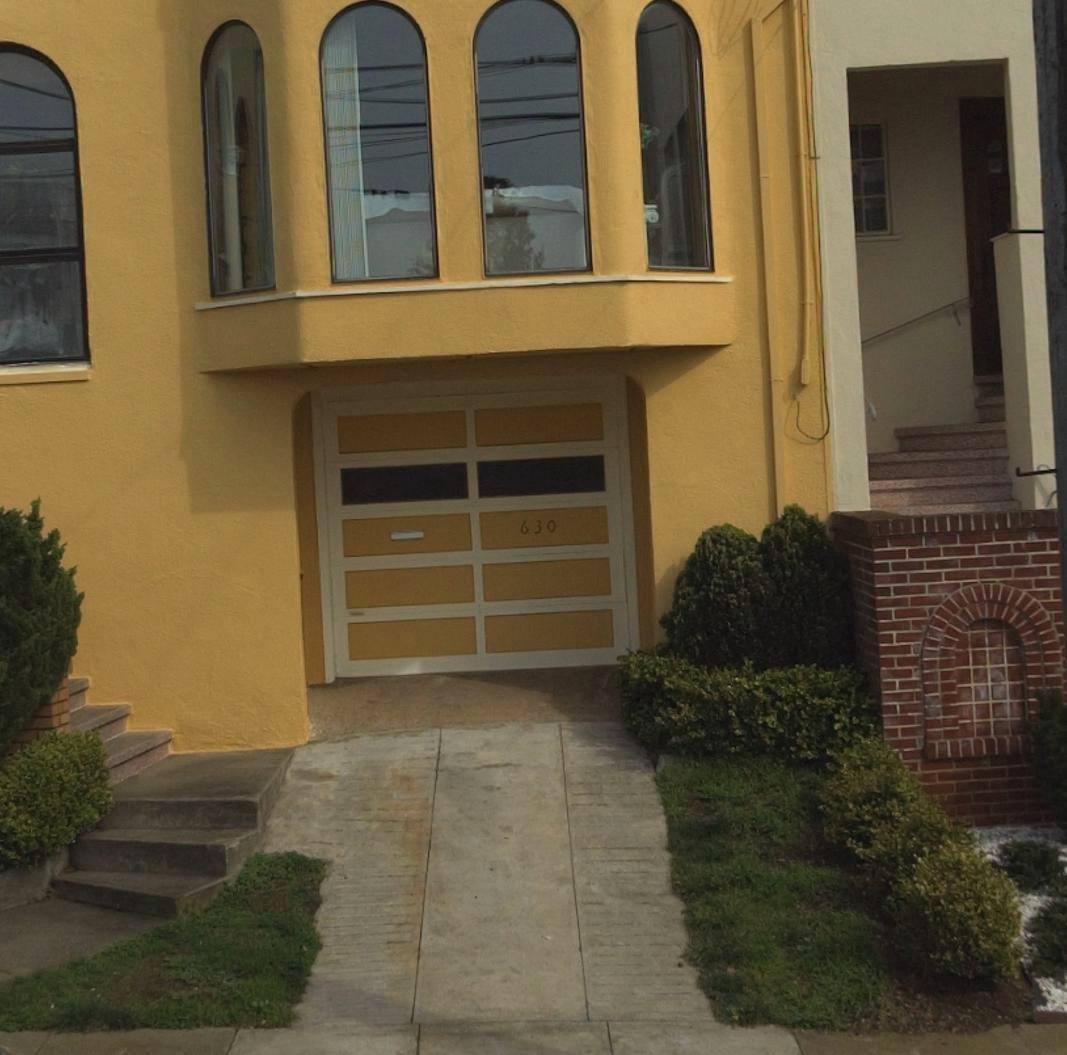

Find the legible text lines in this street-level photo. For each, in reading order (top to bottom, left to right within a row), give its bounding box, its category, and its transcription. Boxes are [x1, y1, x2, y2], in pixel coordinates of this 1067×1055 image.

[518, 518, 558, 535] StreetNumber: 630